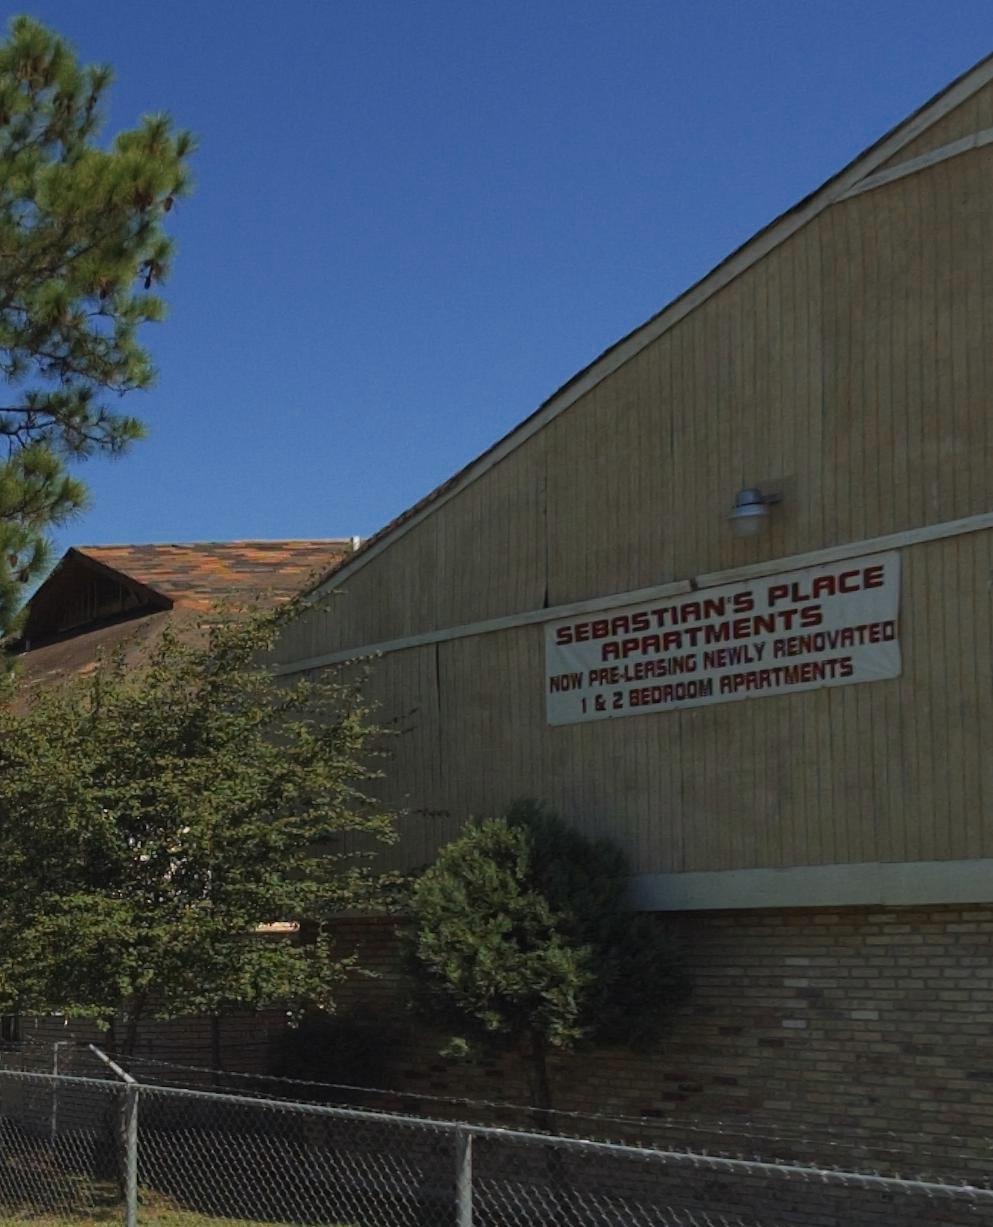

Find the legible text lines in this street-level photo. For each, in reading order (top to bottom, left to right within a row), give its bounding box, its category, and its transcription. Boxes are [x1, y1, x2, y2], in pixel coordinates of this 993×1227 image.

[598, 600, 827, 666] BusinessName: APARTMENTS
[577, 652, 857, 717] None: 1 & 2 BEDROOM APARTMENTS
[553, 560, 887, 649] BusinessName: SEBASTIAN'S PLACE
[545, 616, 899, 697] None: NOW PRE-LEASING NEWLY RENOVATED